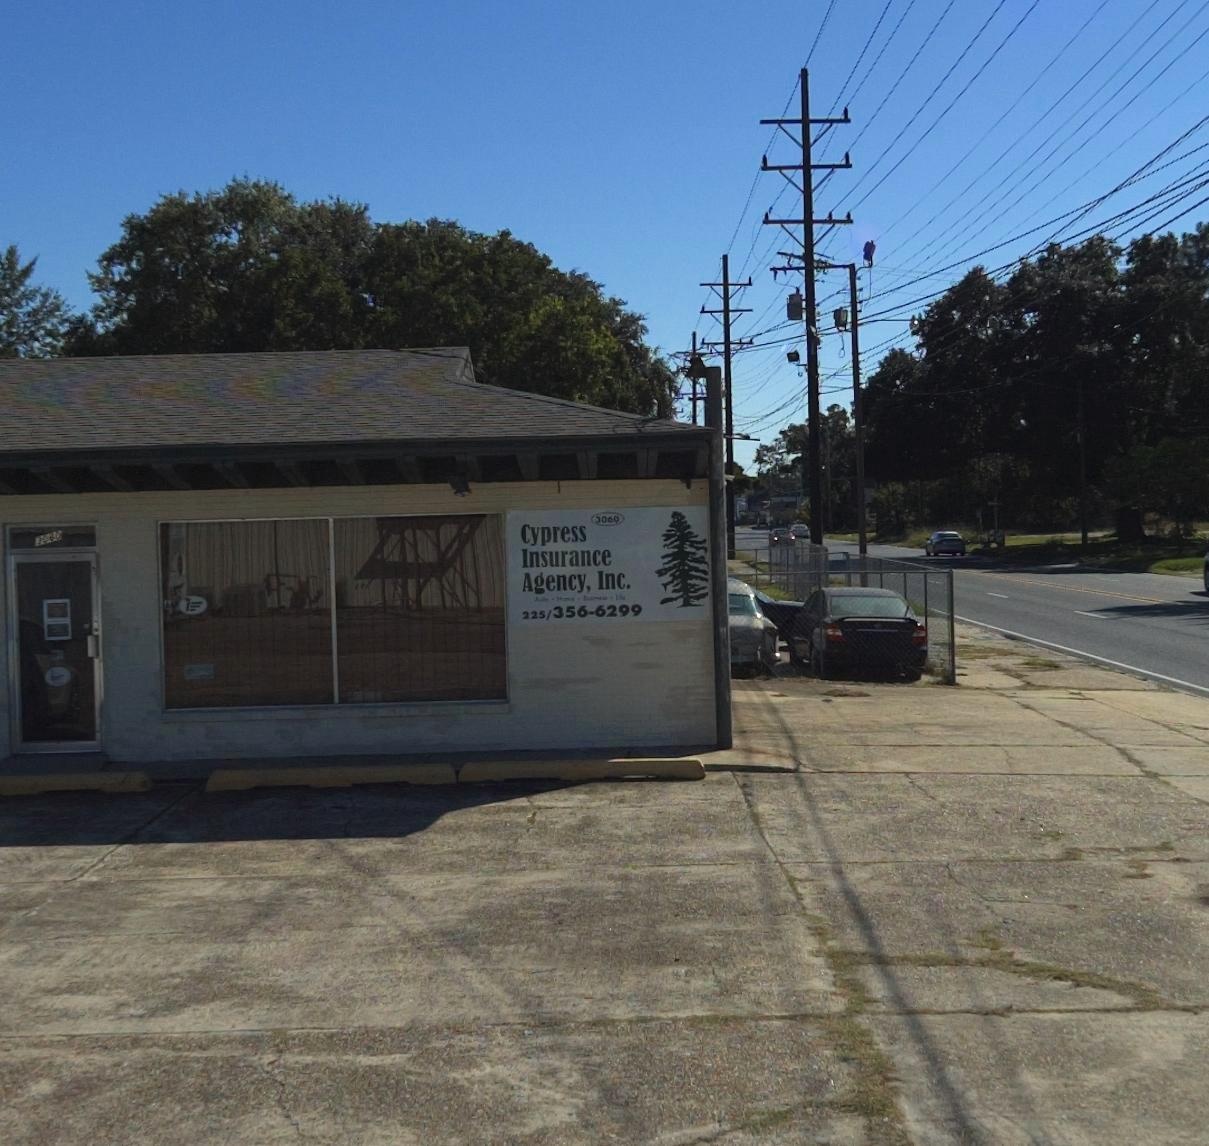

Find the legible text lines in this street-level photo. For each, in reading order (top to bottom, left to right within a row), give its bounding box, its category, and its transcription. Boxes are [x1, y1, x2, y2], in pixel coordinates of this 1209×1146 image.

[594, 514, 621, 525] StreetNumber: 3060
[33, 529, 62, 549] StreetNumber: 3060
[519, 522, 589, 549] BusinessName: Cypress
[519, 546, 615, 570] BusinessName: Insurance
[520, 568, 633, 597] BusinessName: Agency, Inc.
[519, 602, 646, 621] None: 225/356-6299